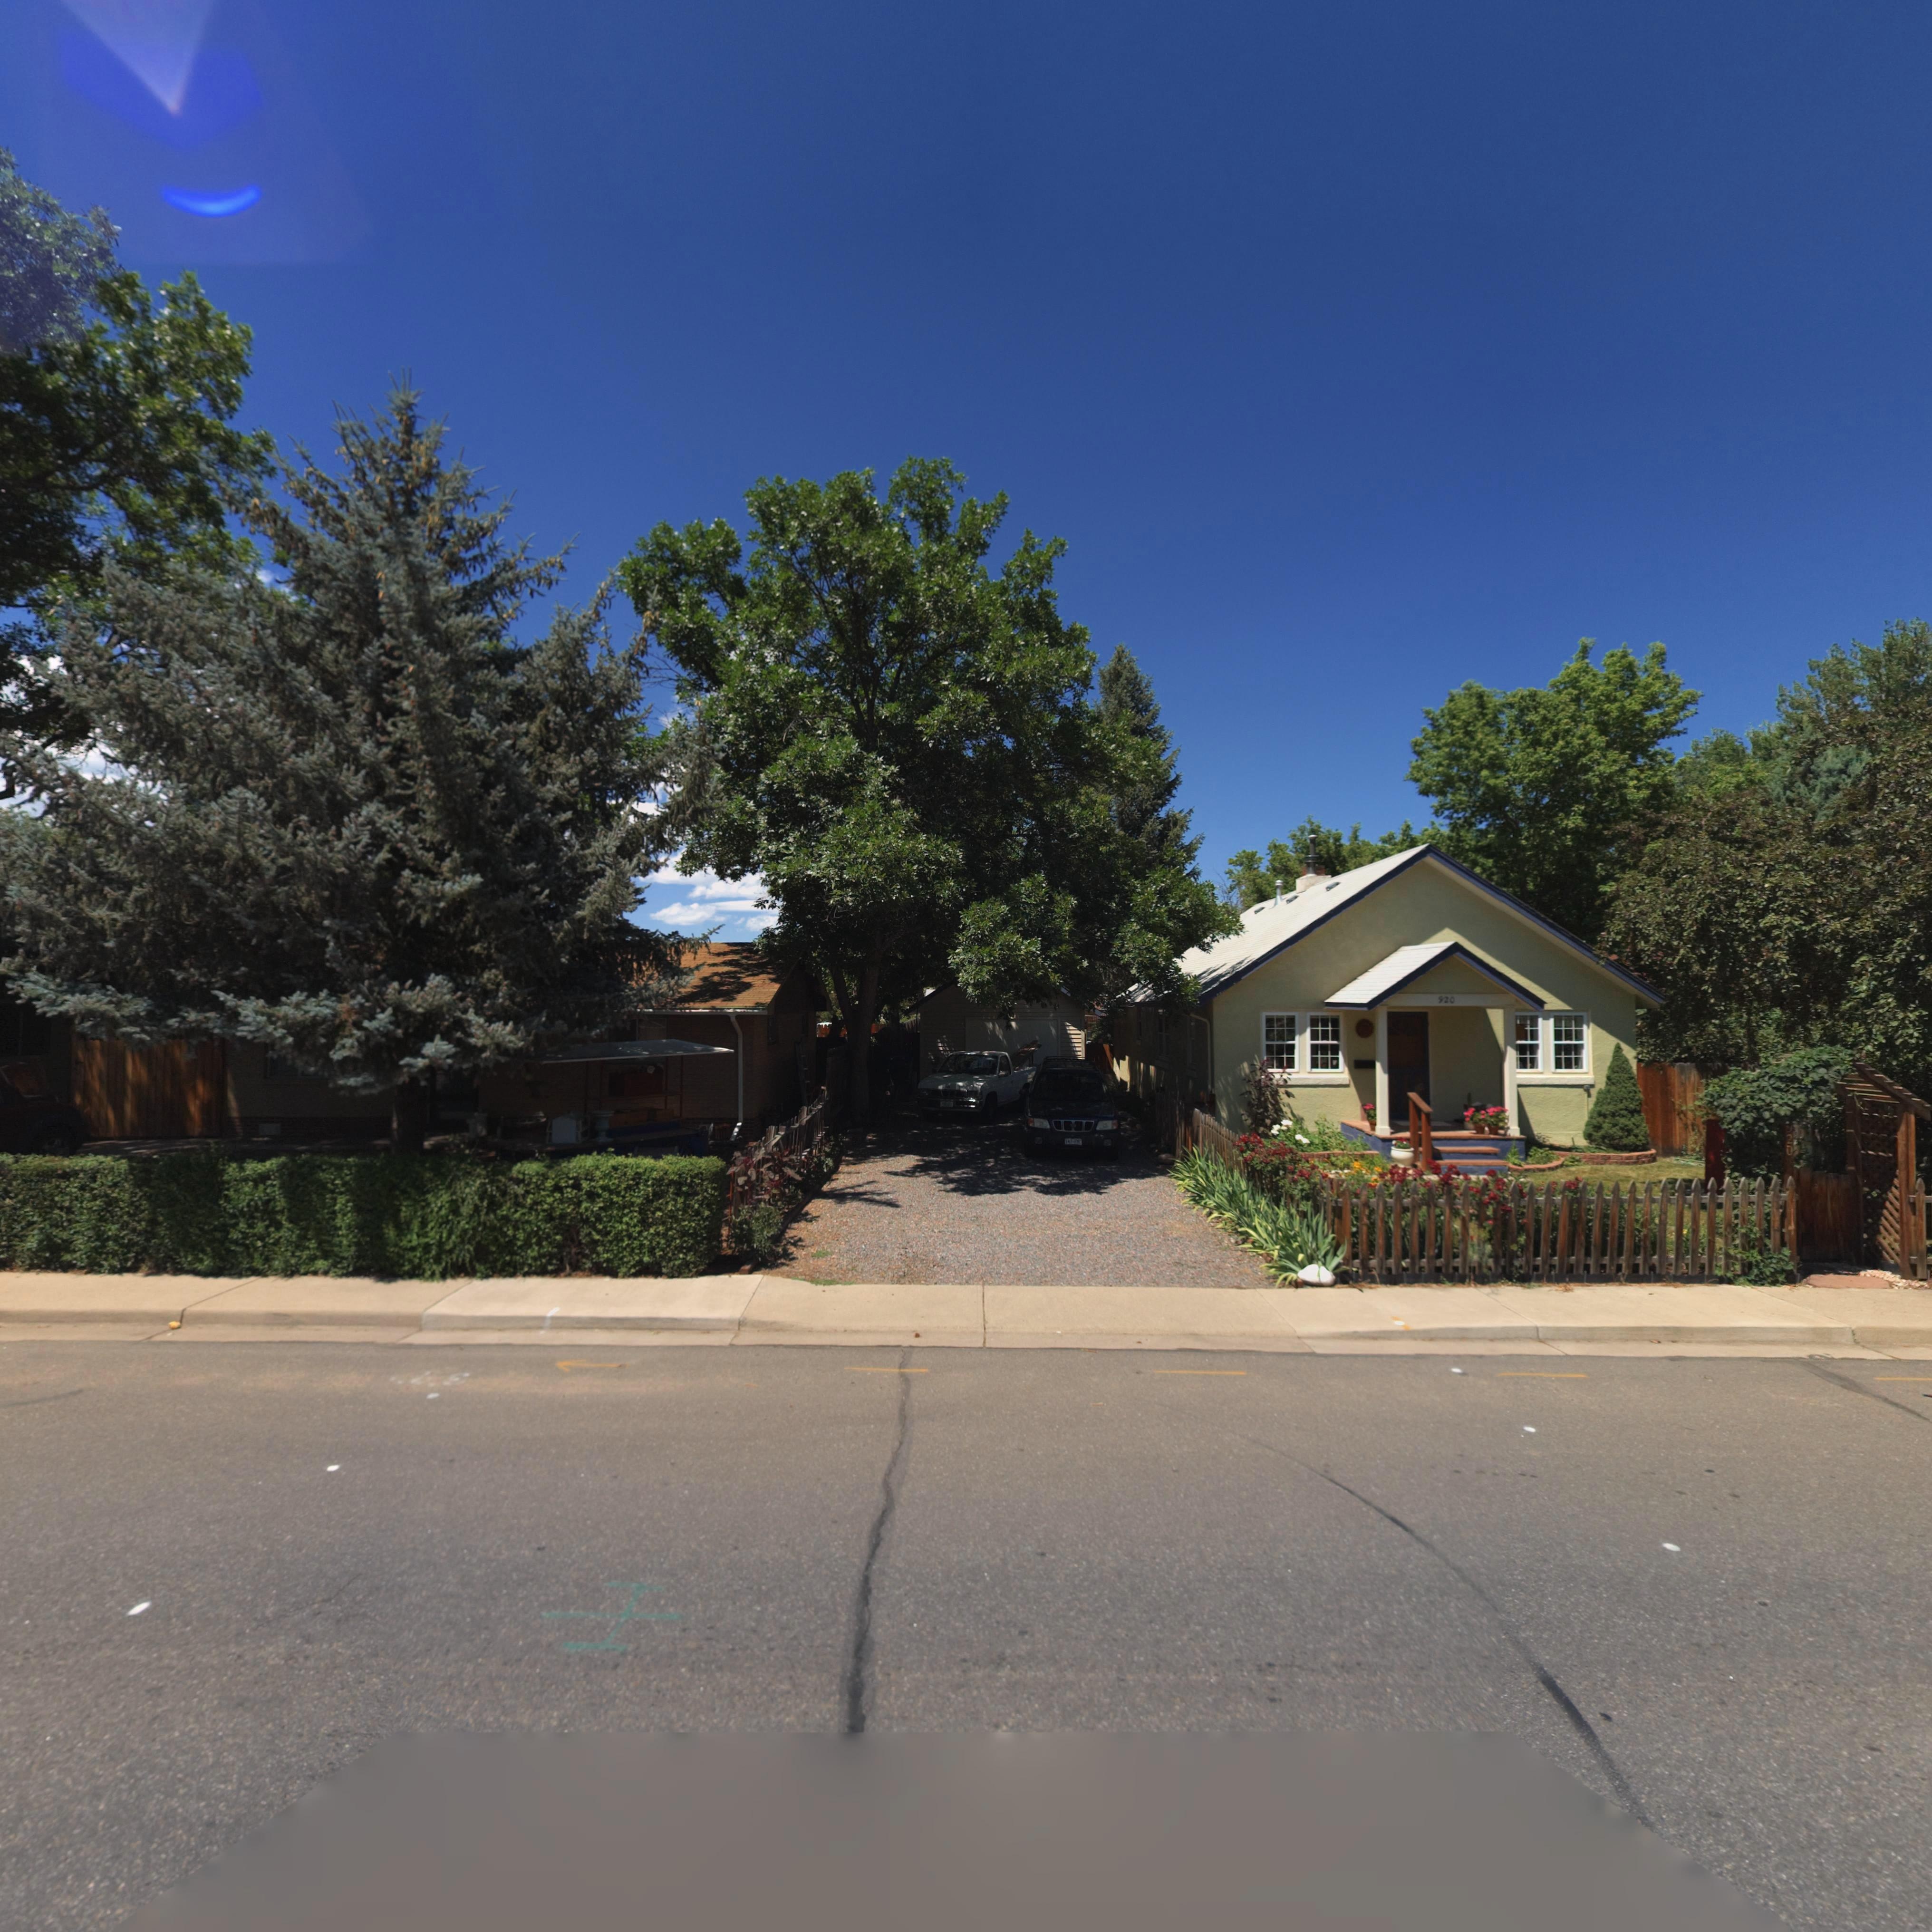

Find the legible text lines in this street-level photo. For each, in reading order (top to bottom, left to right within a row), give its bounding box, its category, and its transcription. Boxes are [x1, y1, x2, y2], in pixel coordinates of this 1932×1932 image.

[1437, 995, 1456, 1004] StreetNumber: 920
[1785, 1122, 1793, 1156] StreetNumber: *20